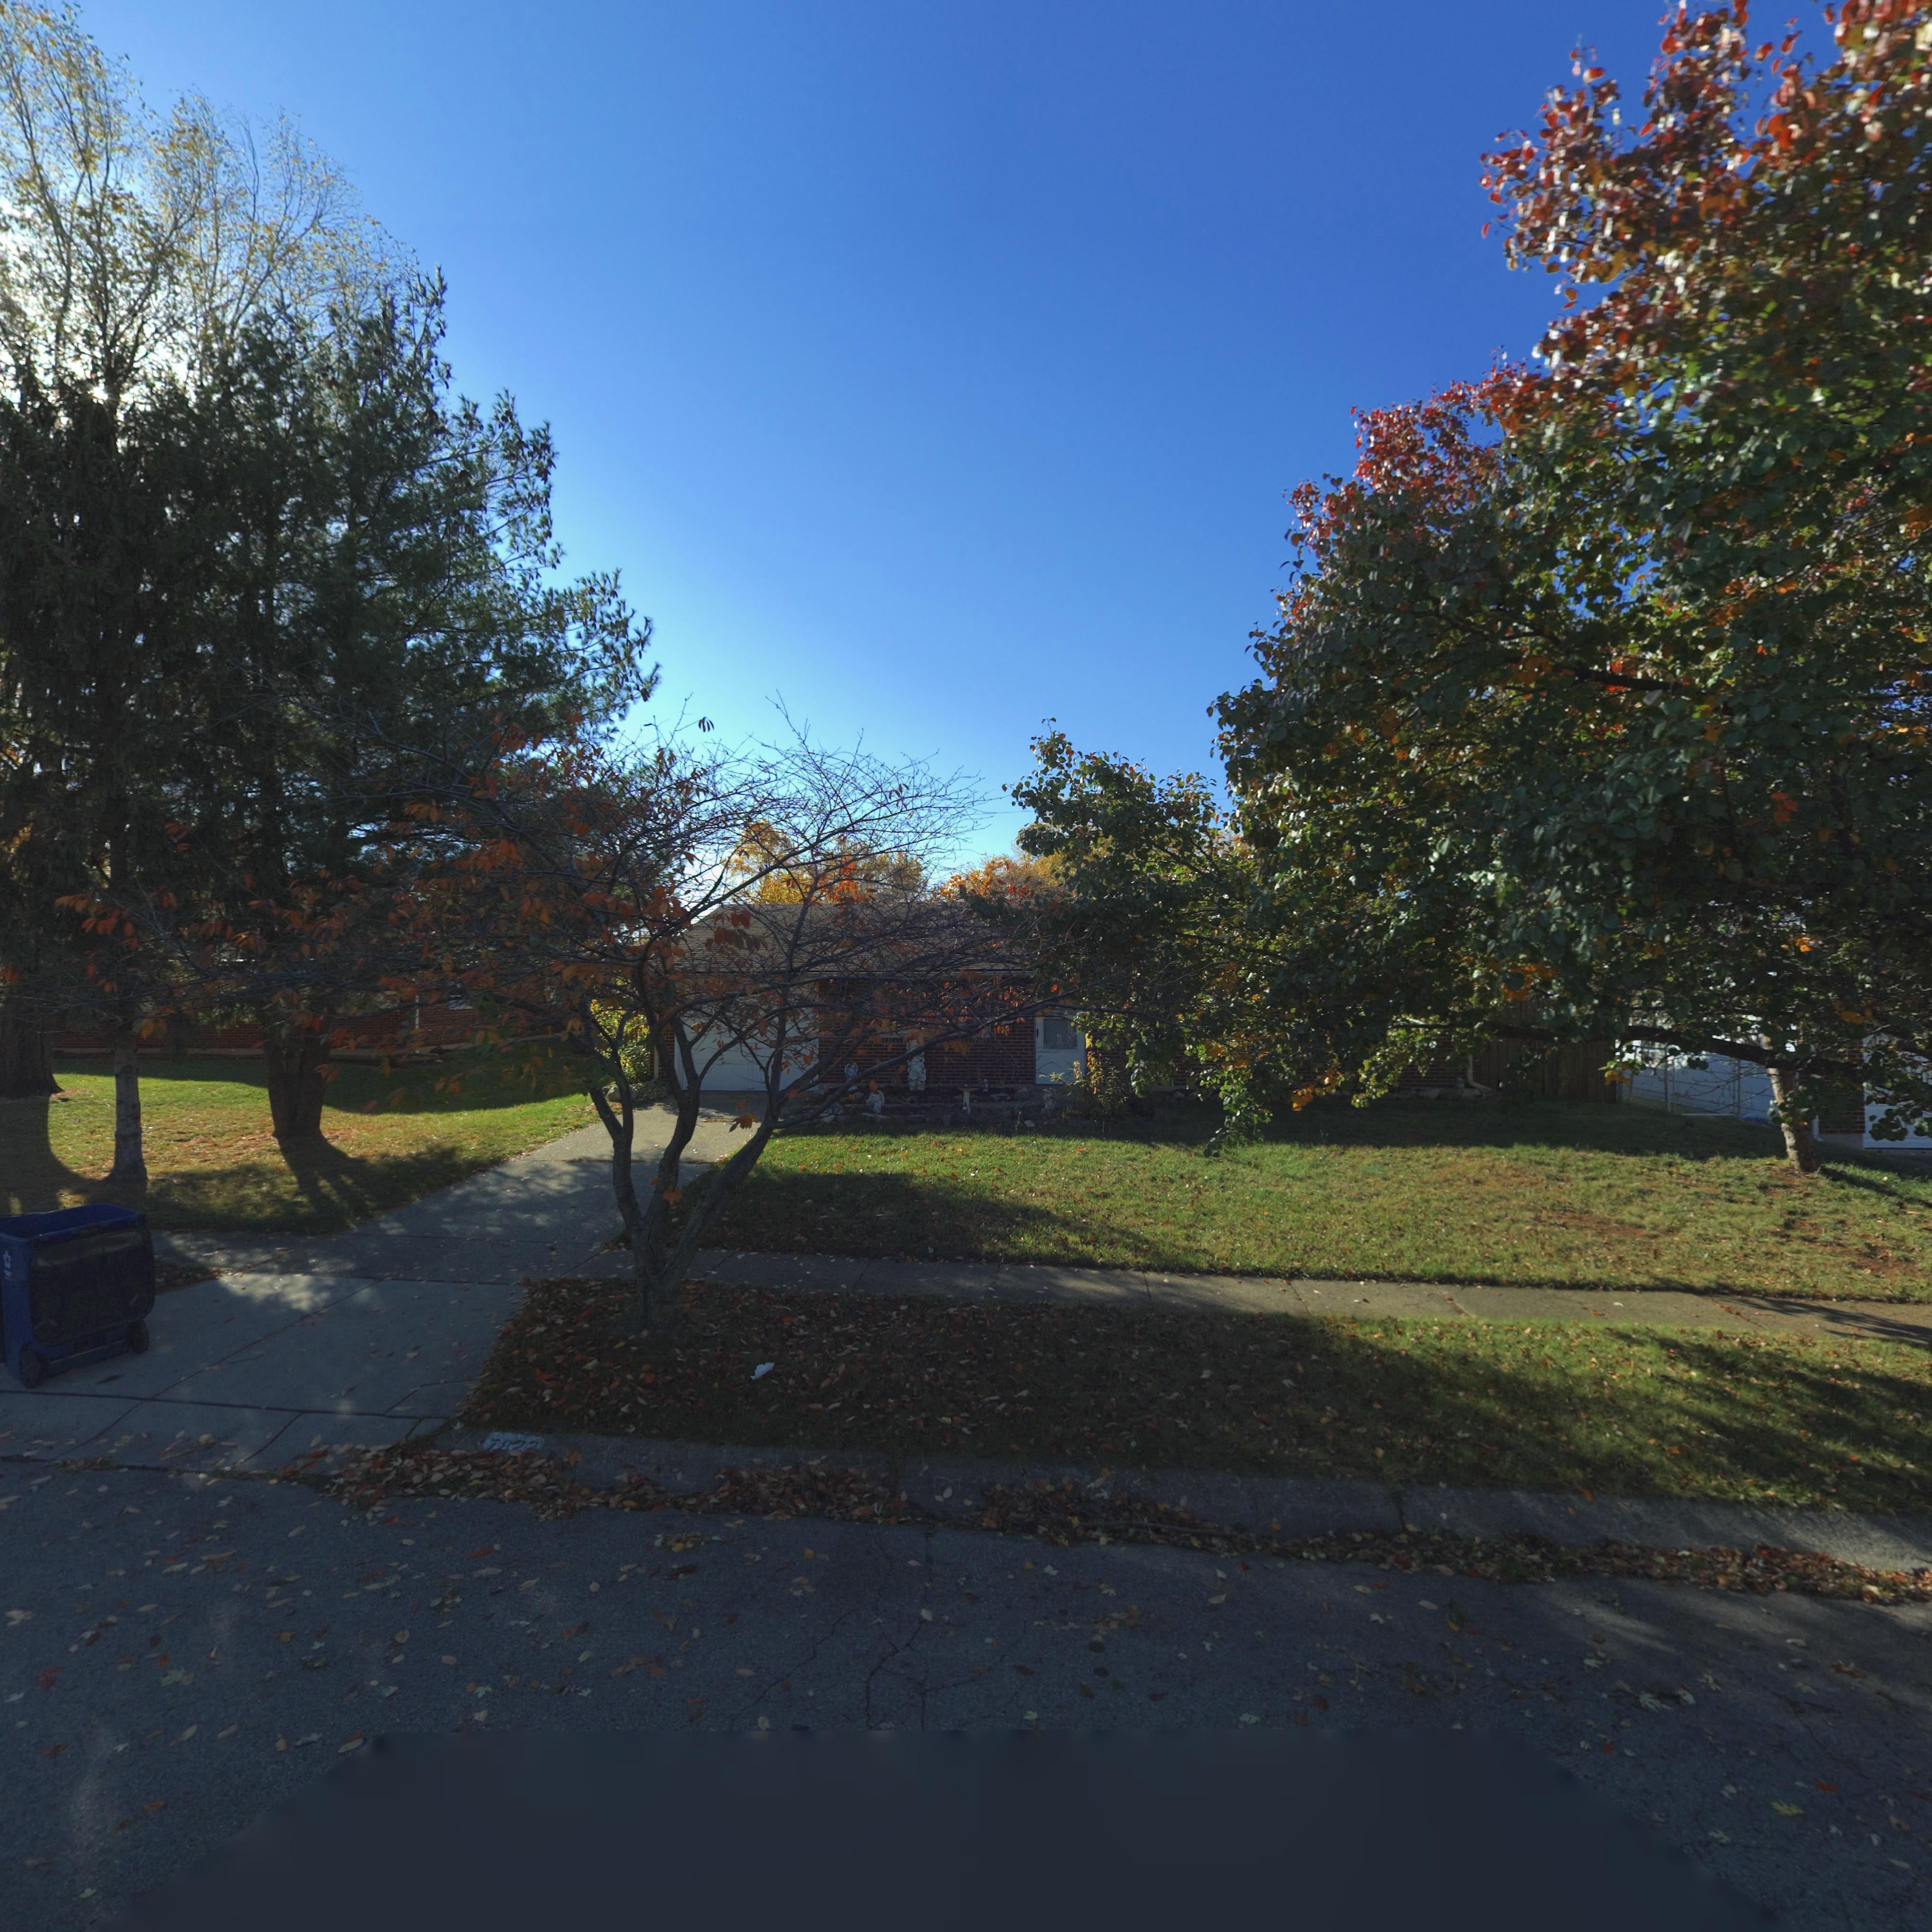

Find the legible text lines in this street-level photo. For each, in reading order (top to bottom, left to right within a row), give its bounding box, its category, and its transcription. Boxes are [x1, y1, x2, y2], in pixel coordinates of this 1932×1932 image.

[485, 1437, 514, 1453] StreetNumber: 78